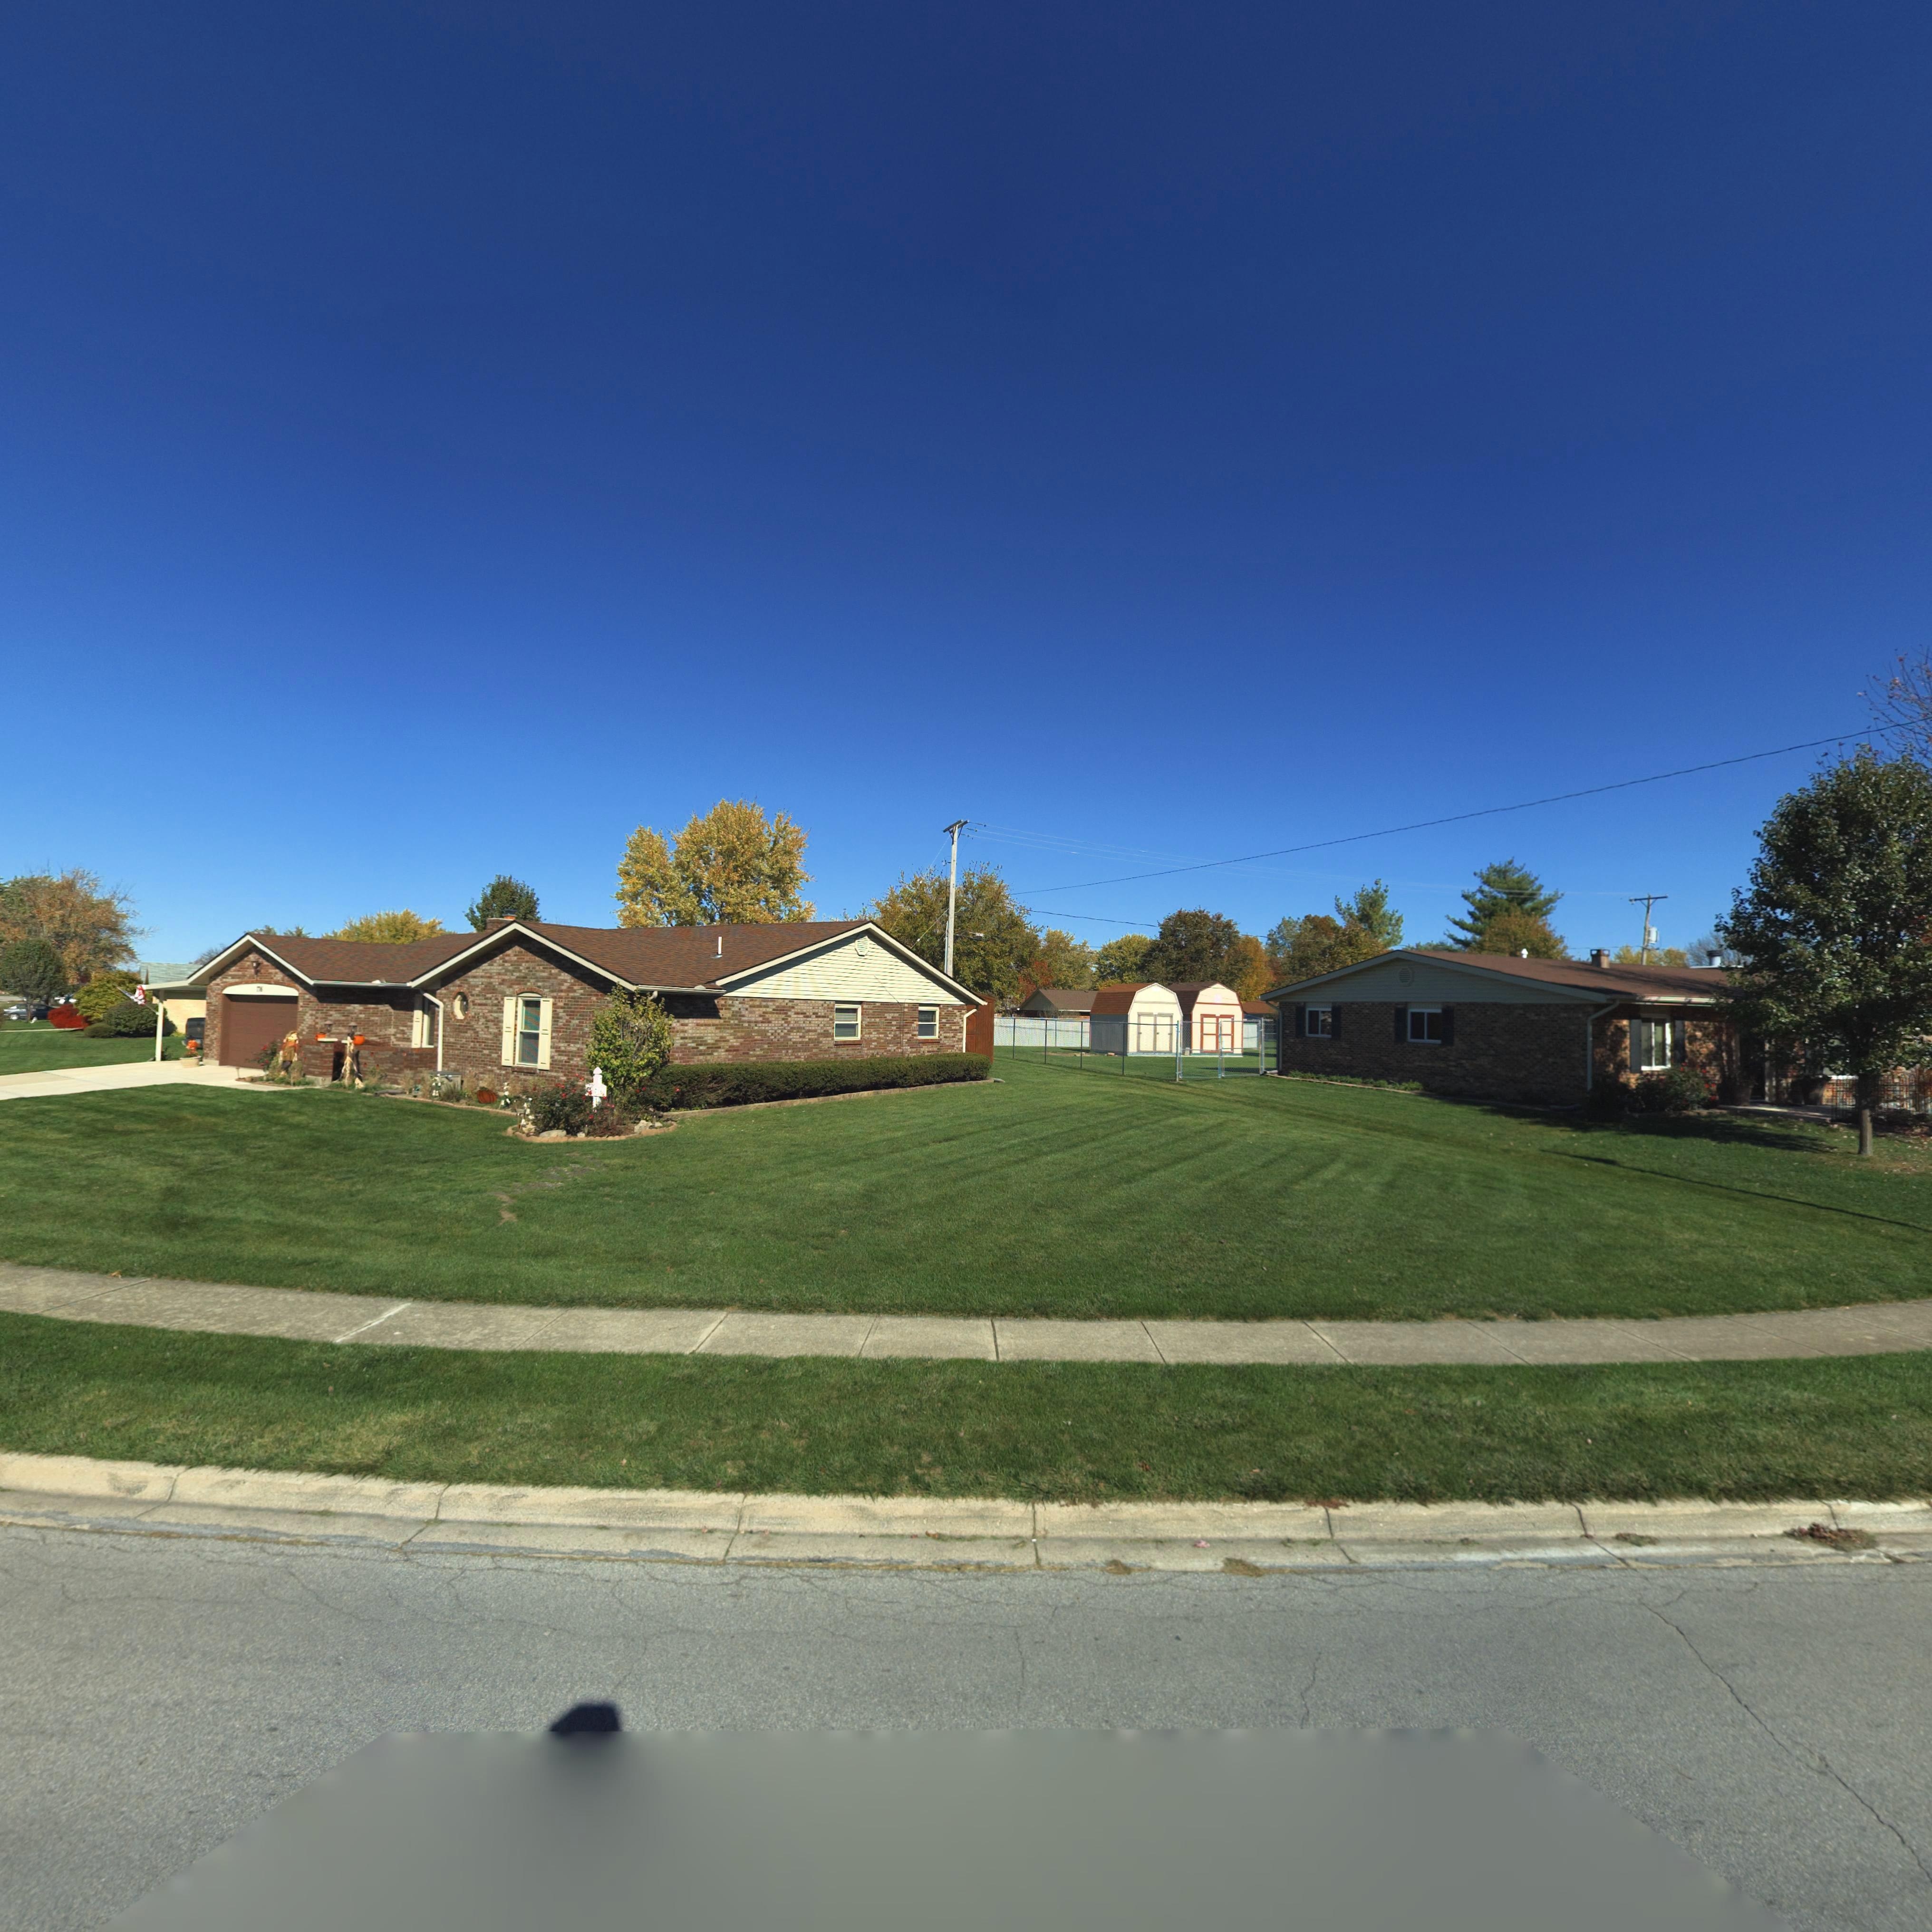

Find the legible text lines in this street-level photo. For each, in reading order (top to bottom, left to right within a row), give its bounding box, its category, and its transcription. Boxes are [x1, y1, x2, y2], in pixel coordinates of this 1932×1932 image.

[256, 985, 263, 993] StreetNumber: *76